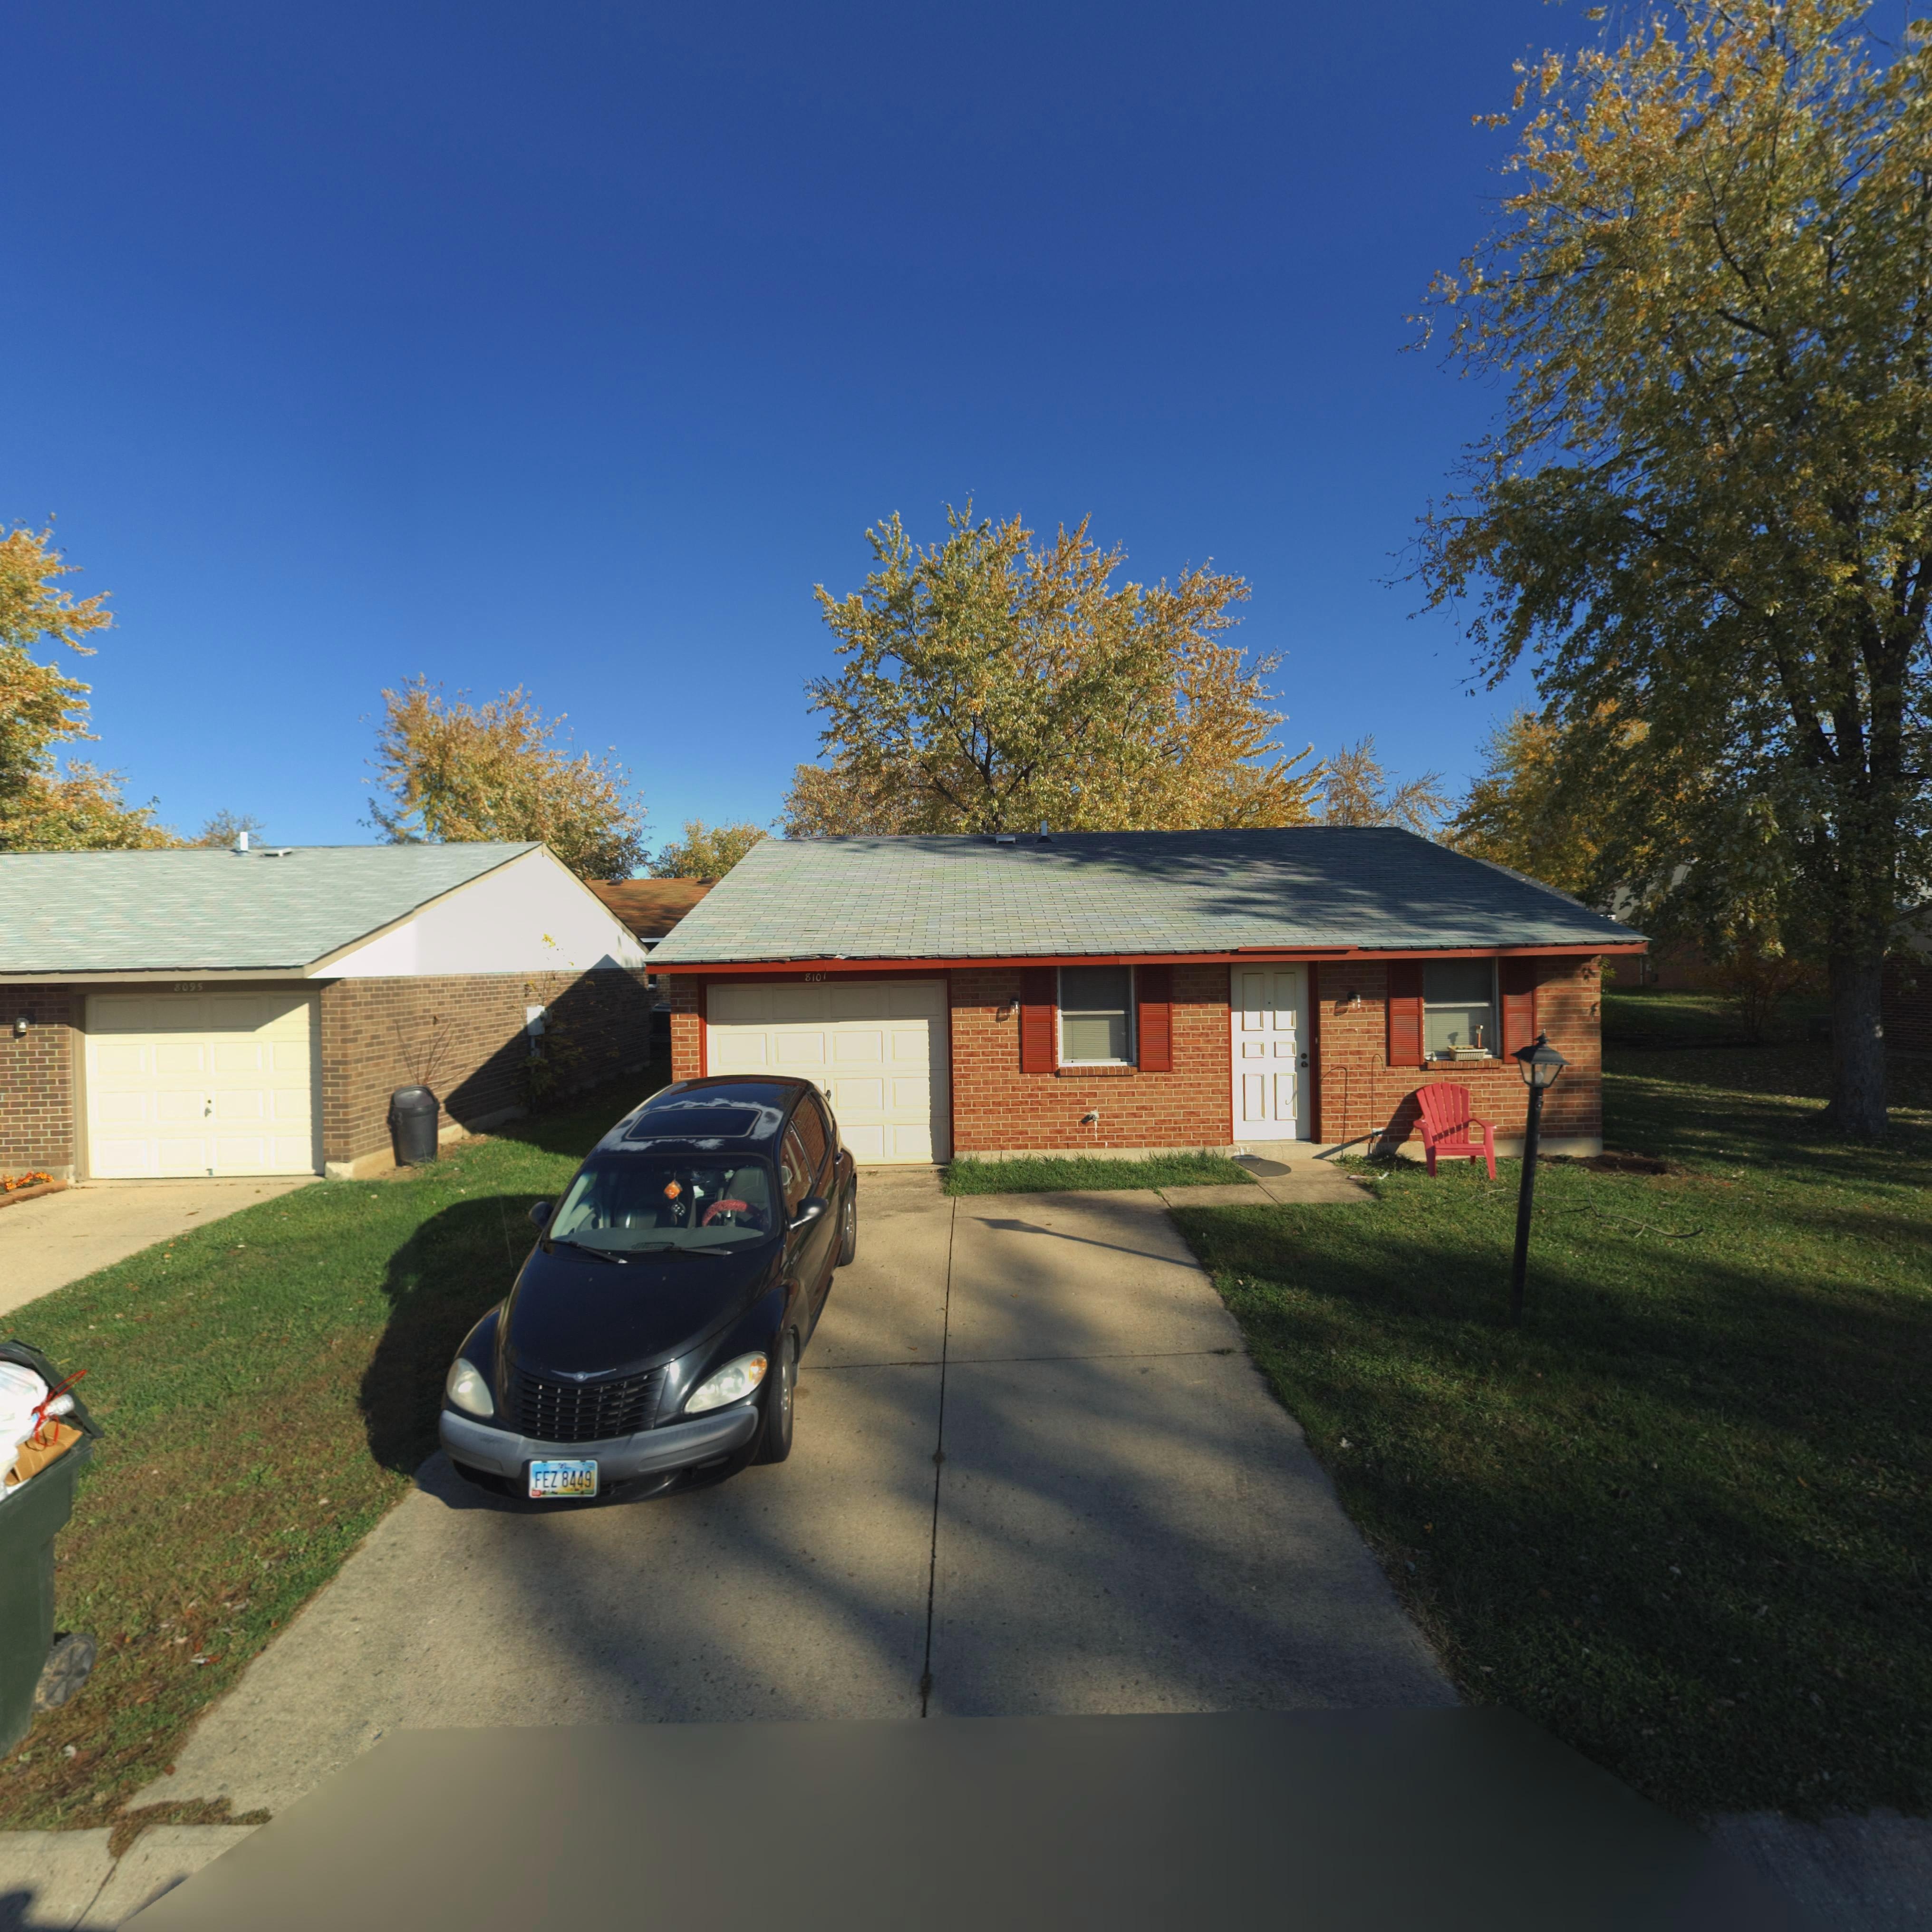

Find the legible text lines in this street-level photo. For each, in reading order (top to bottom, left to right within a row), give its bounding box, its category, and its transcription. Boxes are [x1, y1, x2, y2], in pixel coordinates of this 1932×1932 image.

[804, 971, 827, 983] StreetNumber: 8101
[172, 981, 204, 994] StreetNumber: 8095